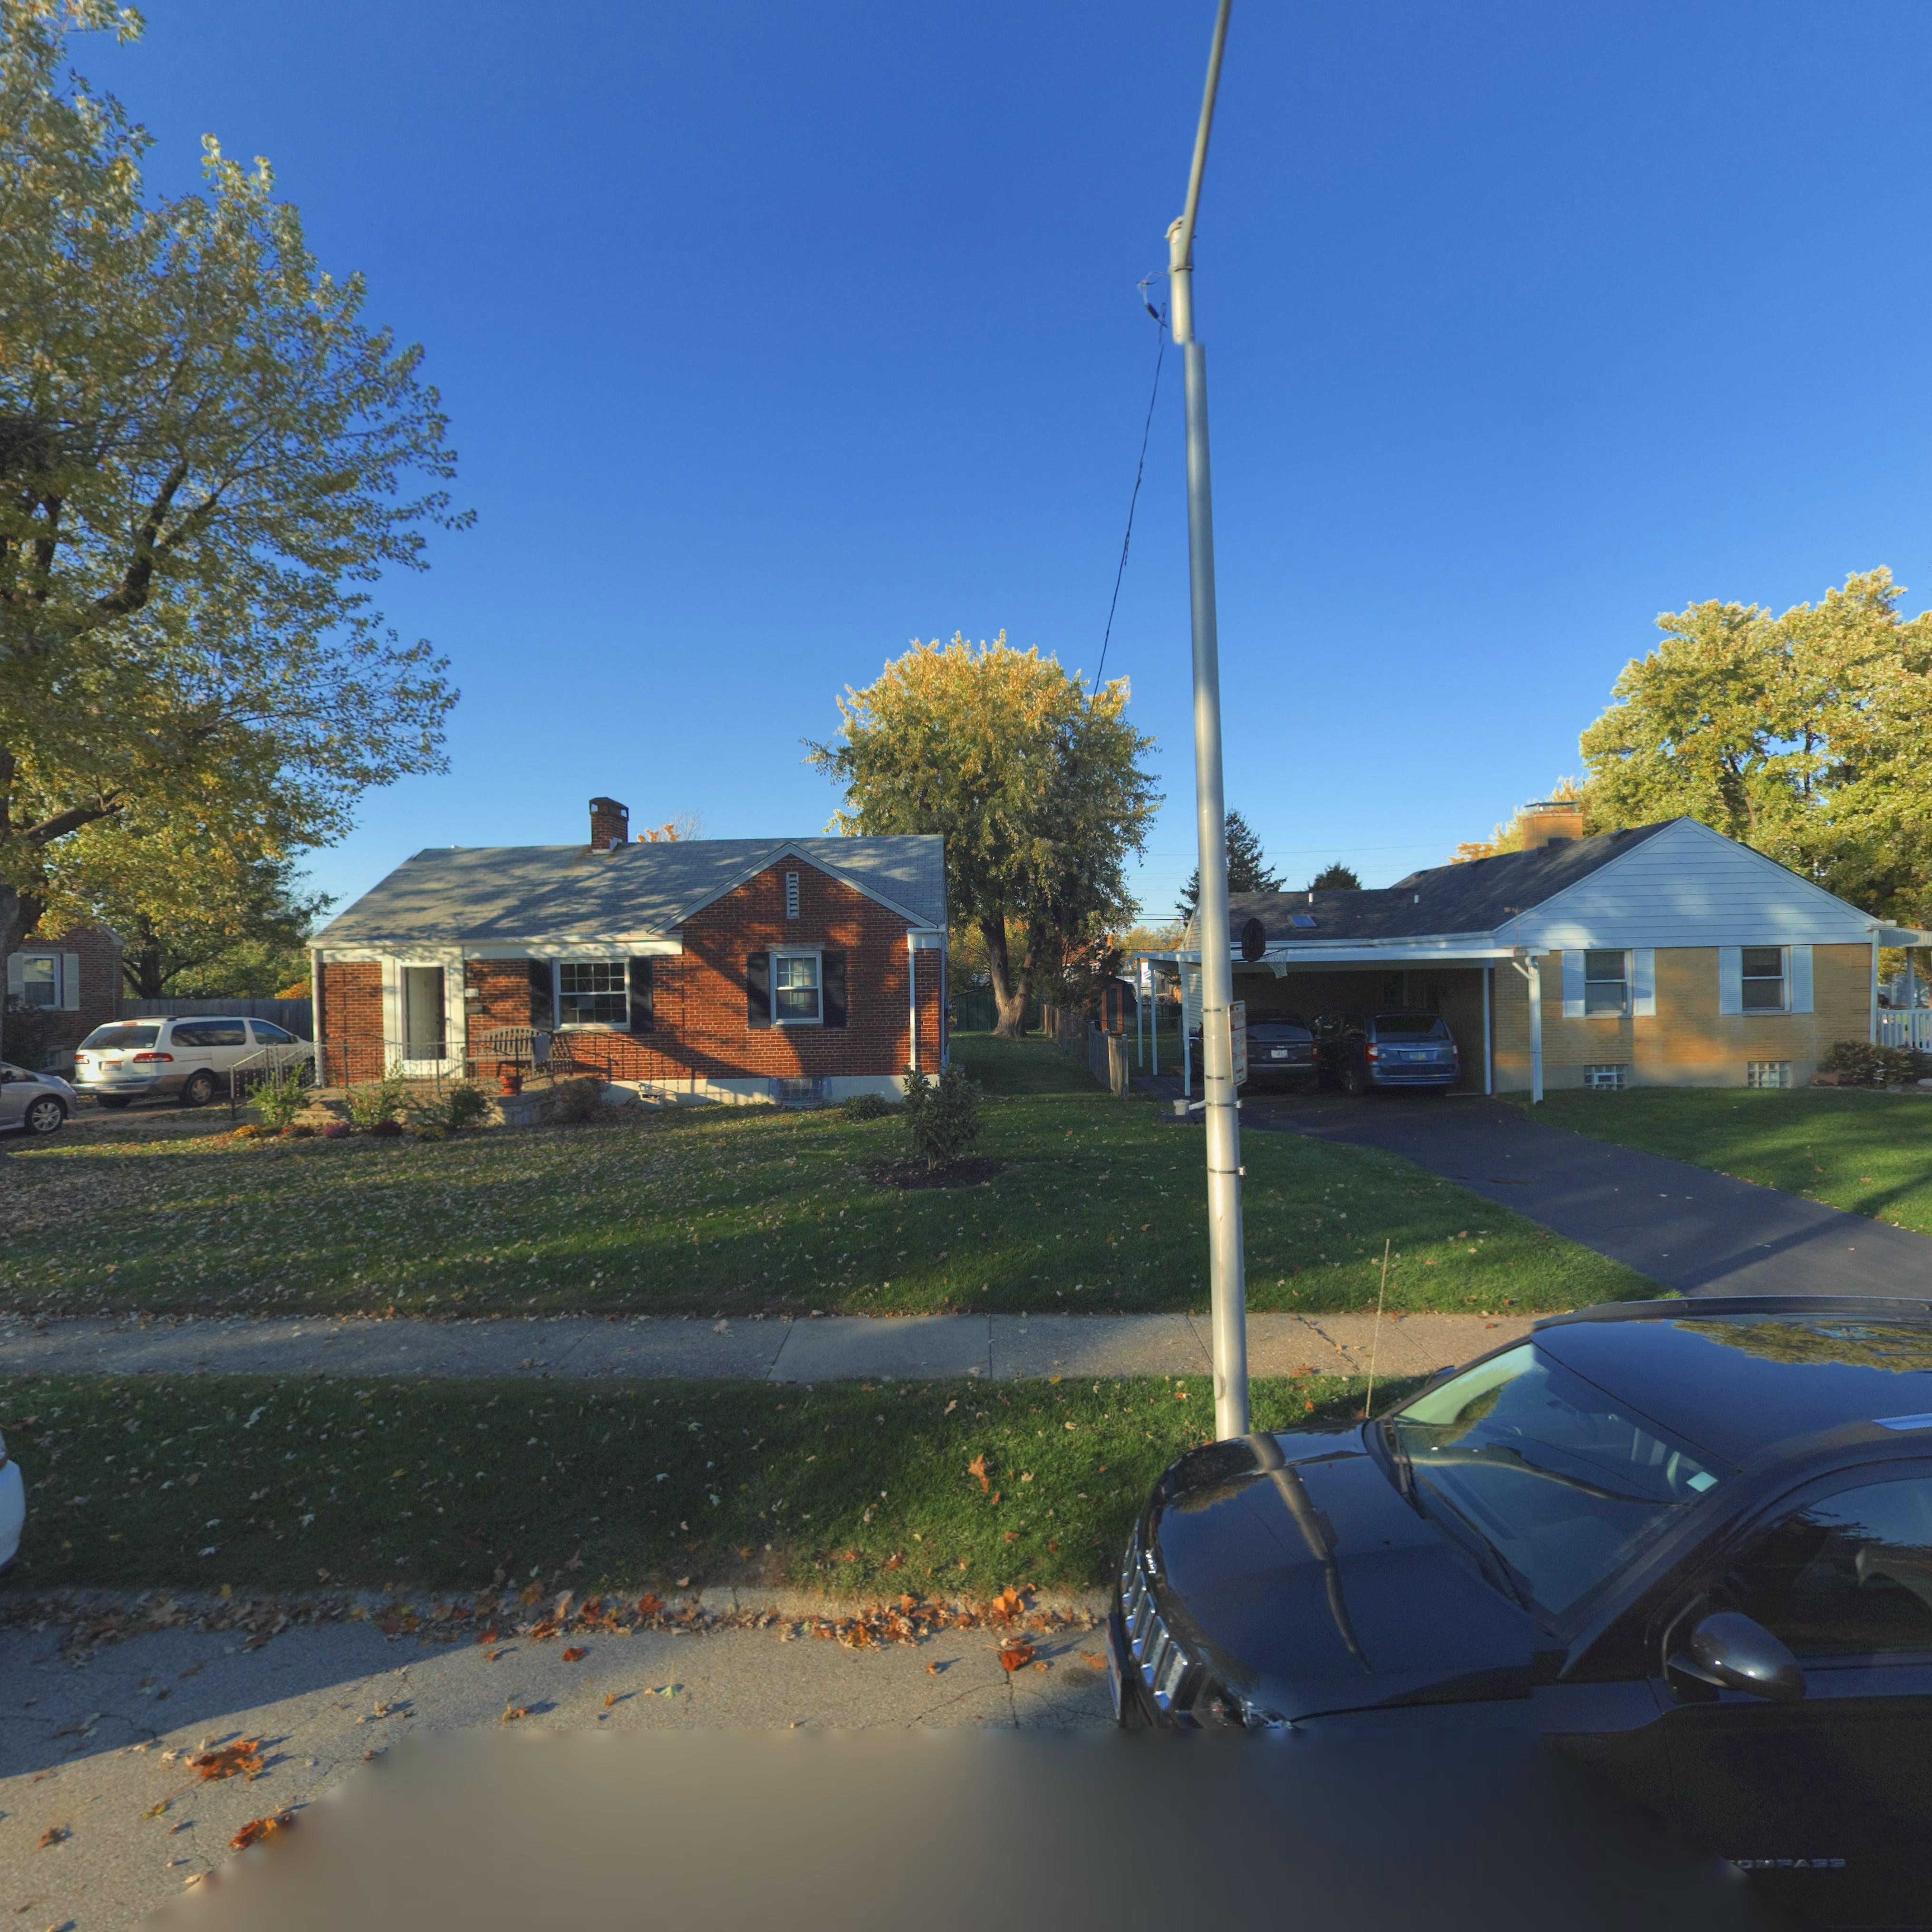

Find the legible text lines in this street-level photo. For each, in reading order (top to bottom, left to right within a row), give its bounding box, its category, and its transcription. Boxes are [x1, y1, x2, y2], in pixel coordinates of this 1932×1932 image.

[465, 989, 479, 996] StreetNumber: 209